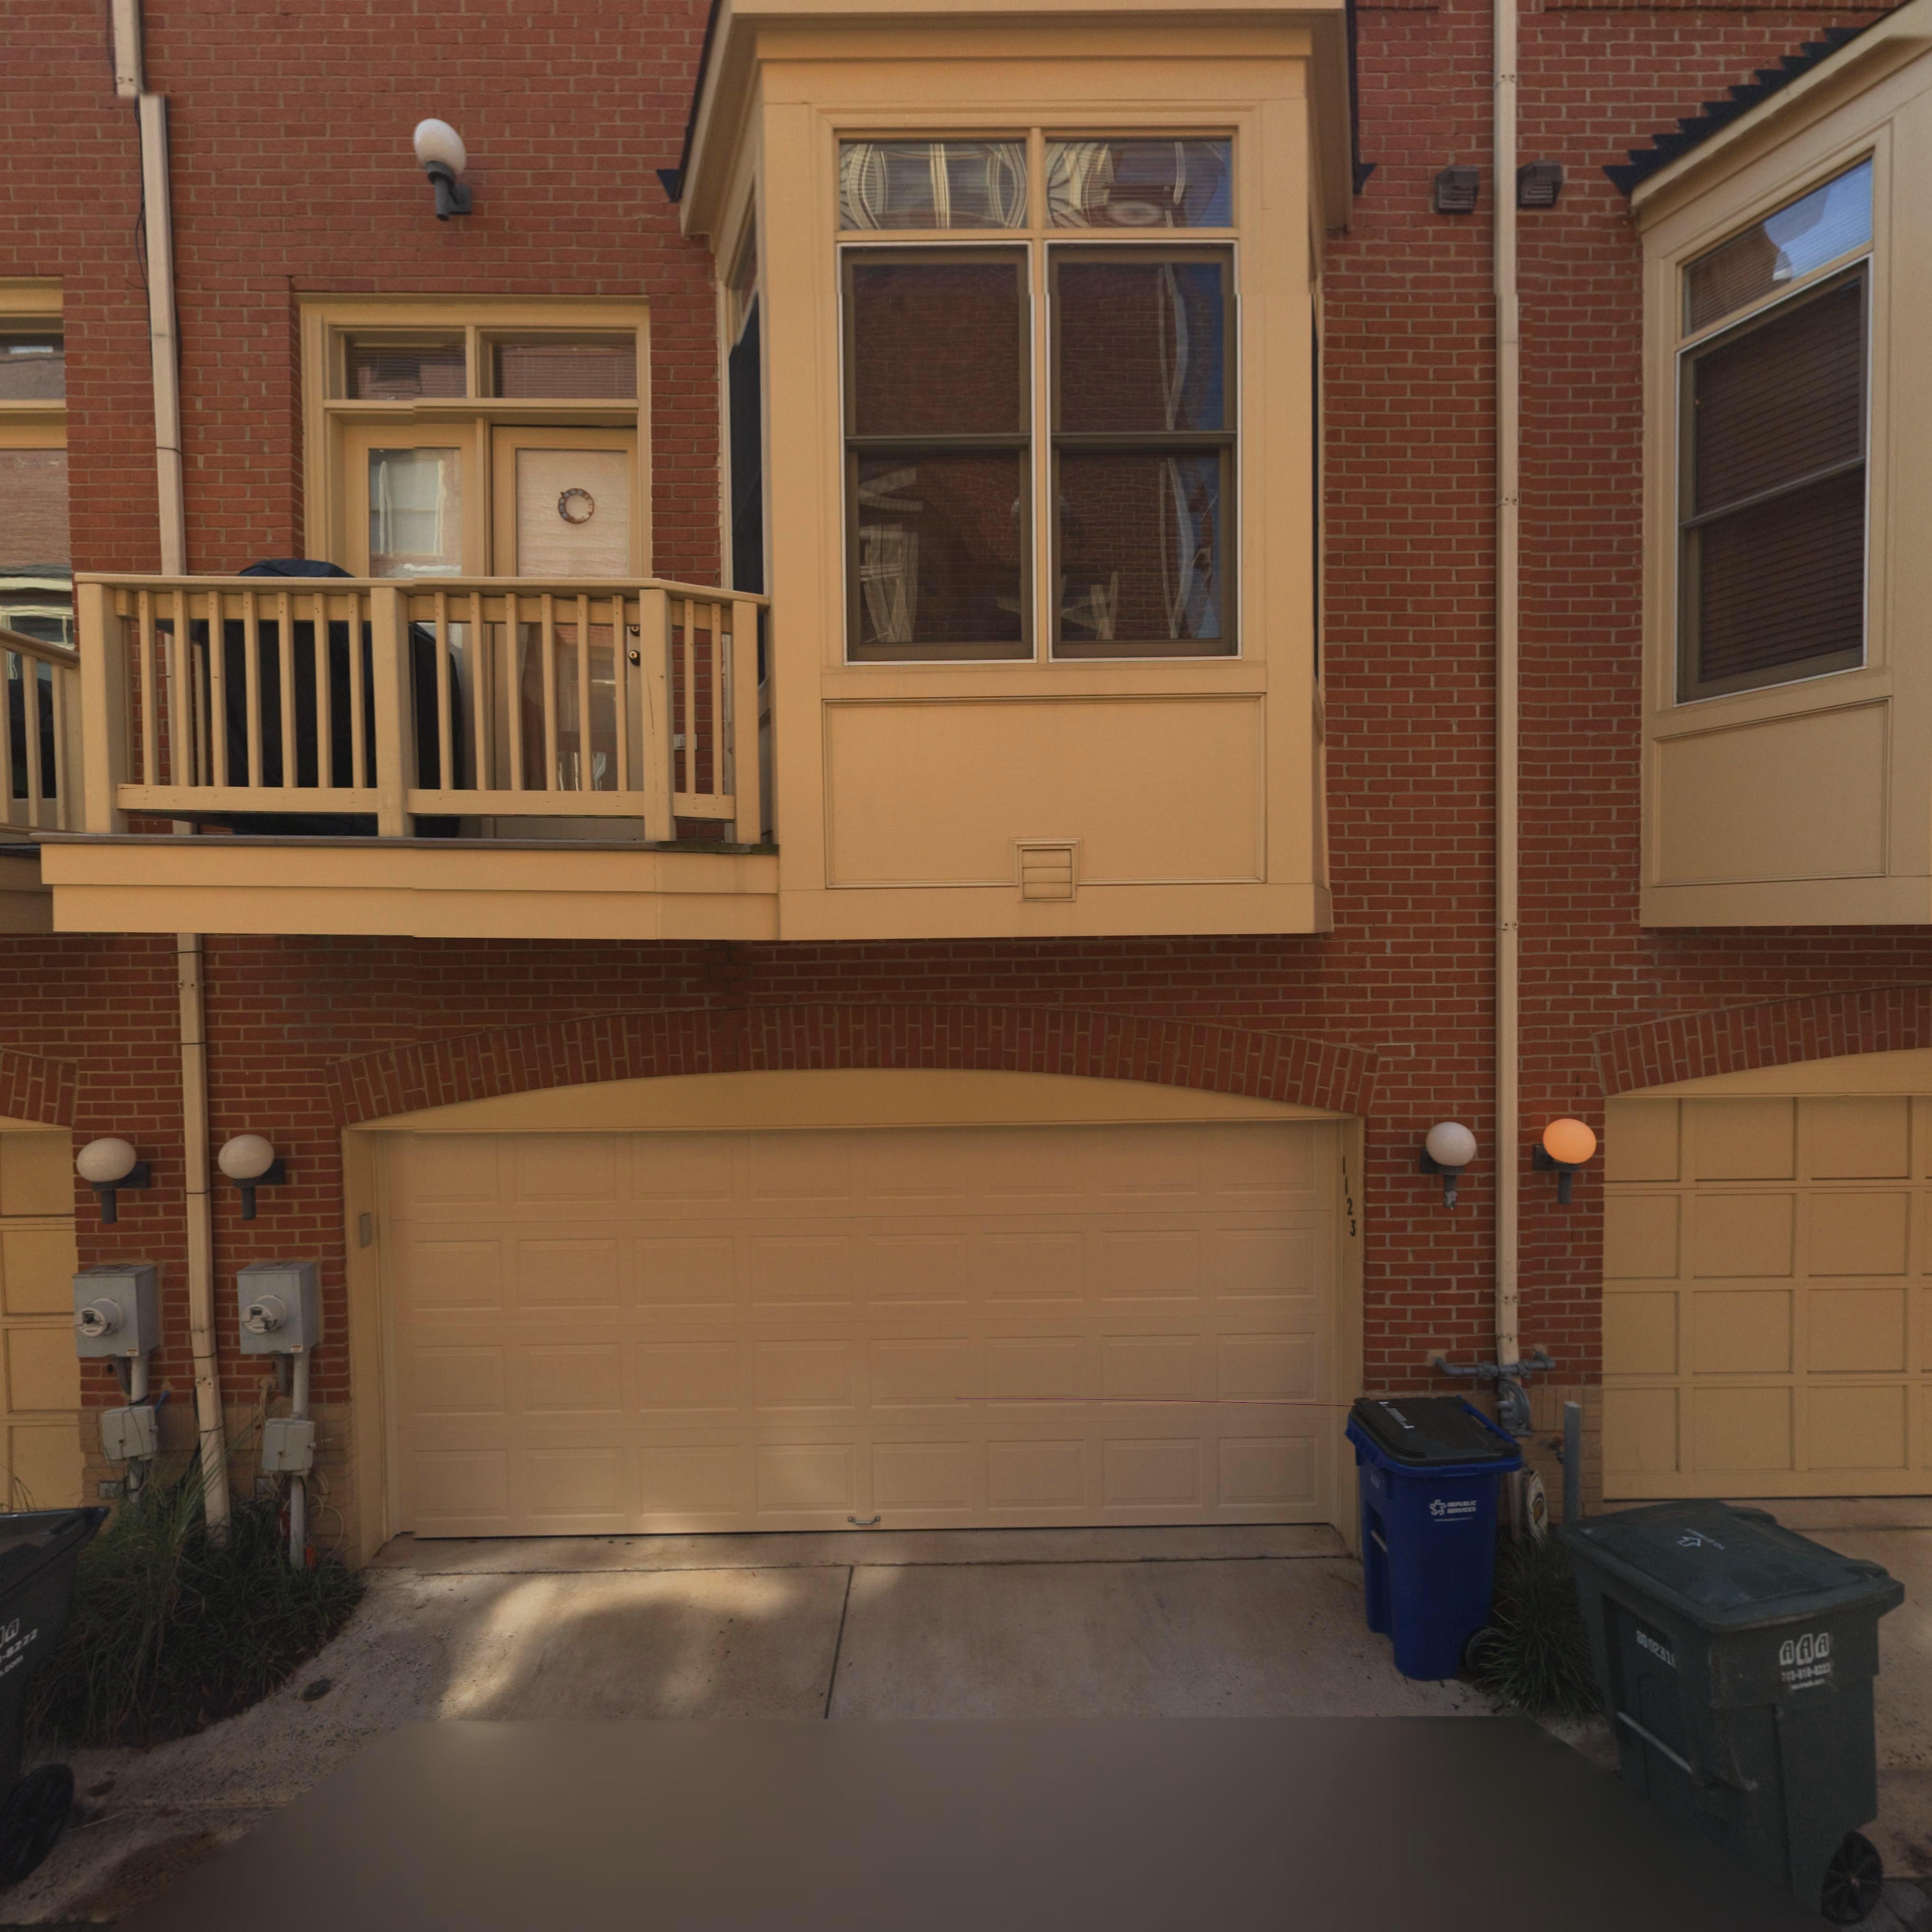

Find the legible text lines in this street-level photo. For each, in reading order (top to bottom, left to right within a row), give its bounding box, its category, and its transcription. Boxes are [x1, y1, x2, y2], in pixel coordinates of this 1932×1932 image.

[1341, 1154, 1357, 1239] StreetNumber: 1123
[1446, 1506, 1477, 1514] None: SERVICES
[1447, 1500, 1477, 1508] None: REPUBLIC\
[7, 1620, 18, 1639] None: A
[5, 1627, 38, 1660] None: 8222
[1636, 1629, 1672, 1667] None: 800231
[1782, 1634, 1828, 1661] None: AAA
[1780, 1662, 1832, 1684] None: 7*3-818-8222